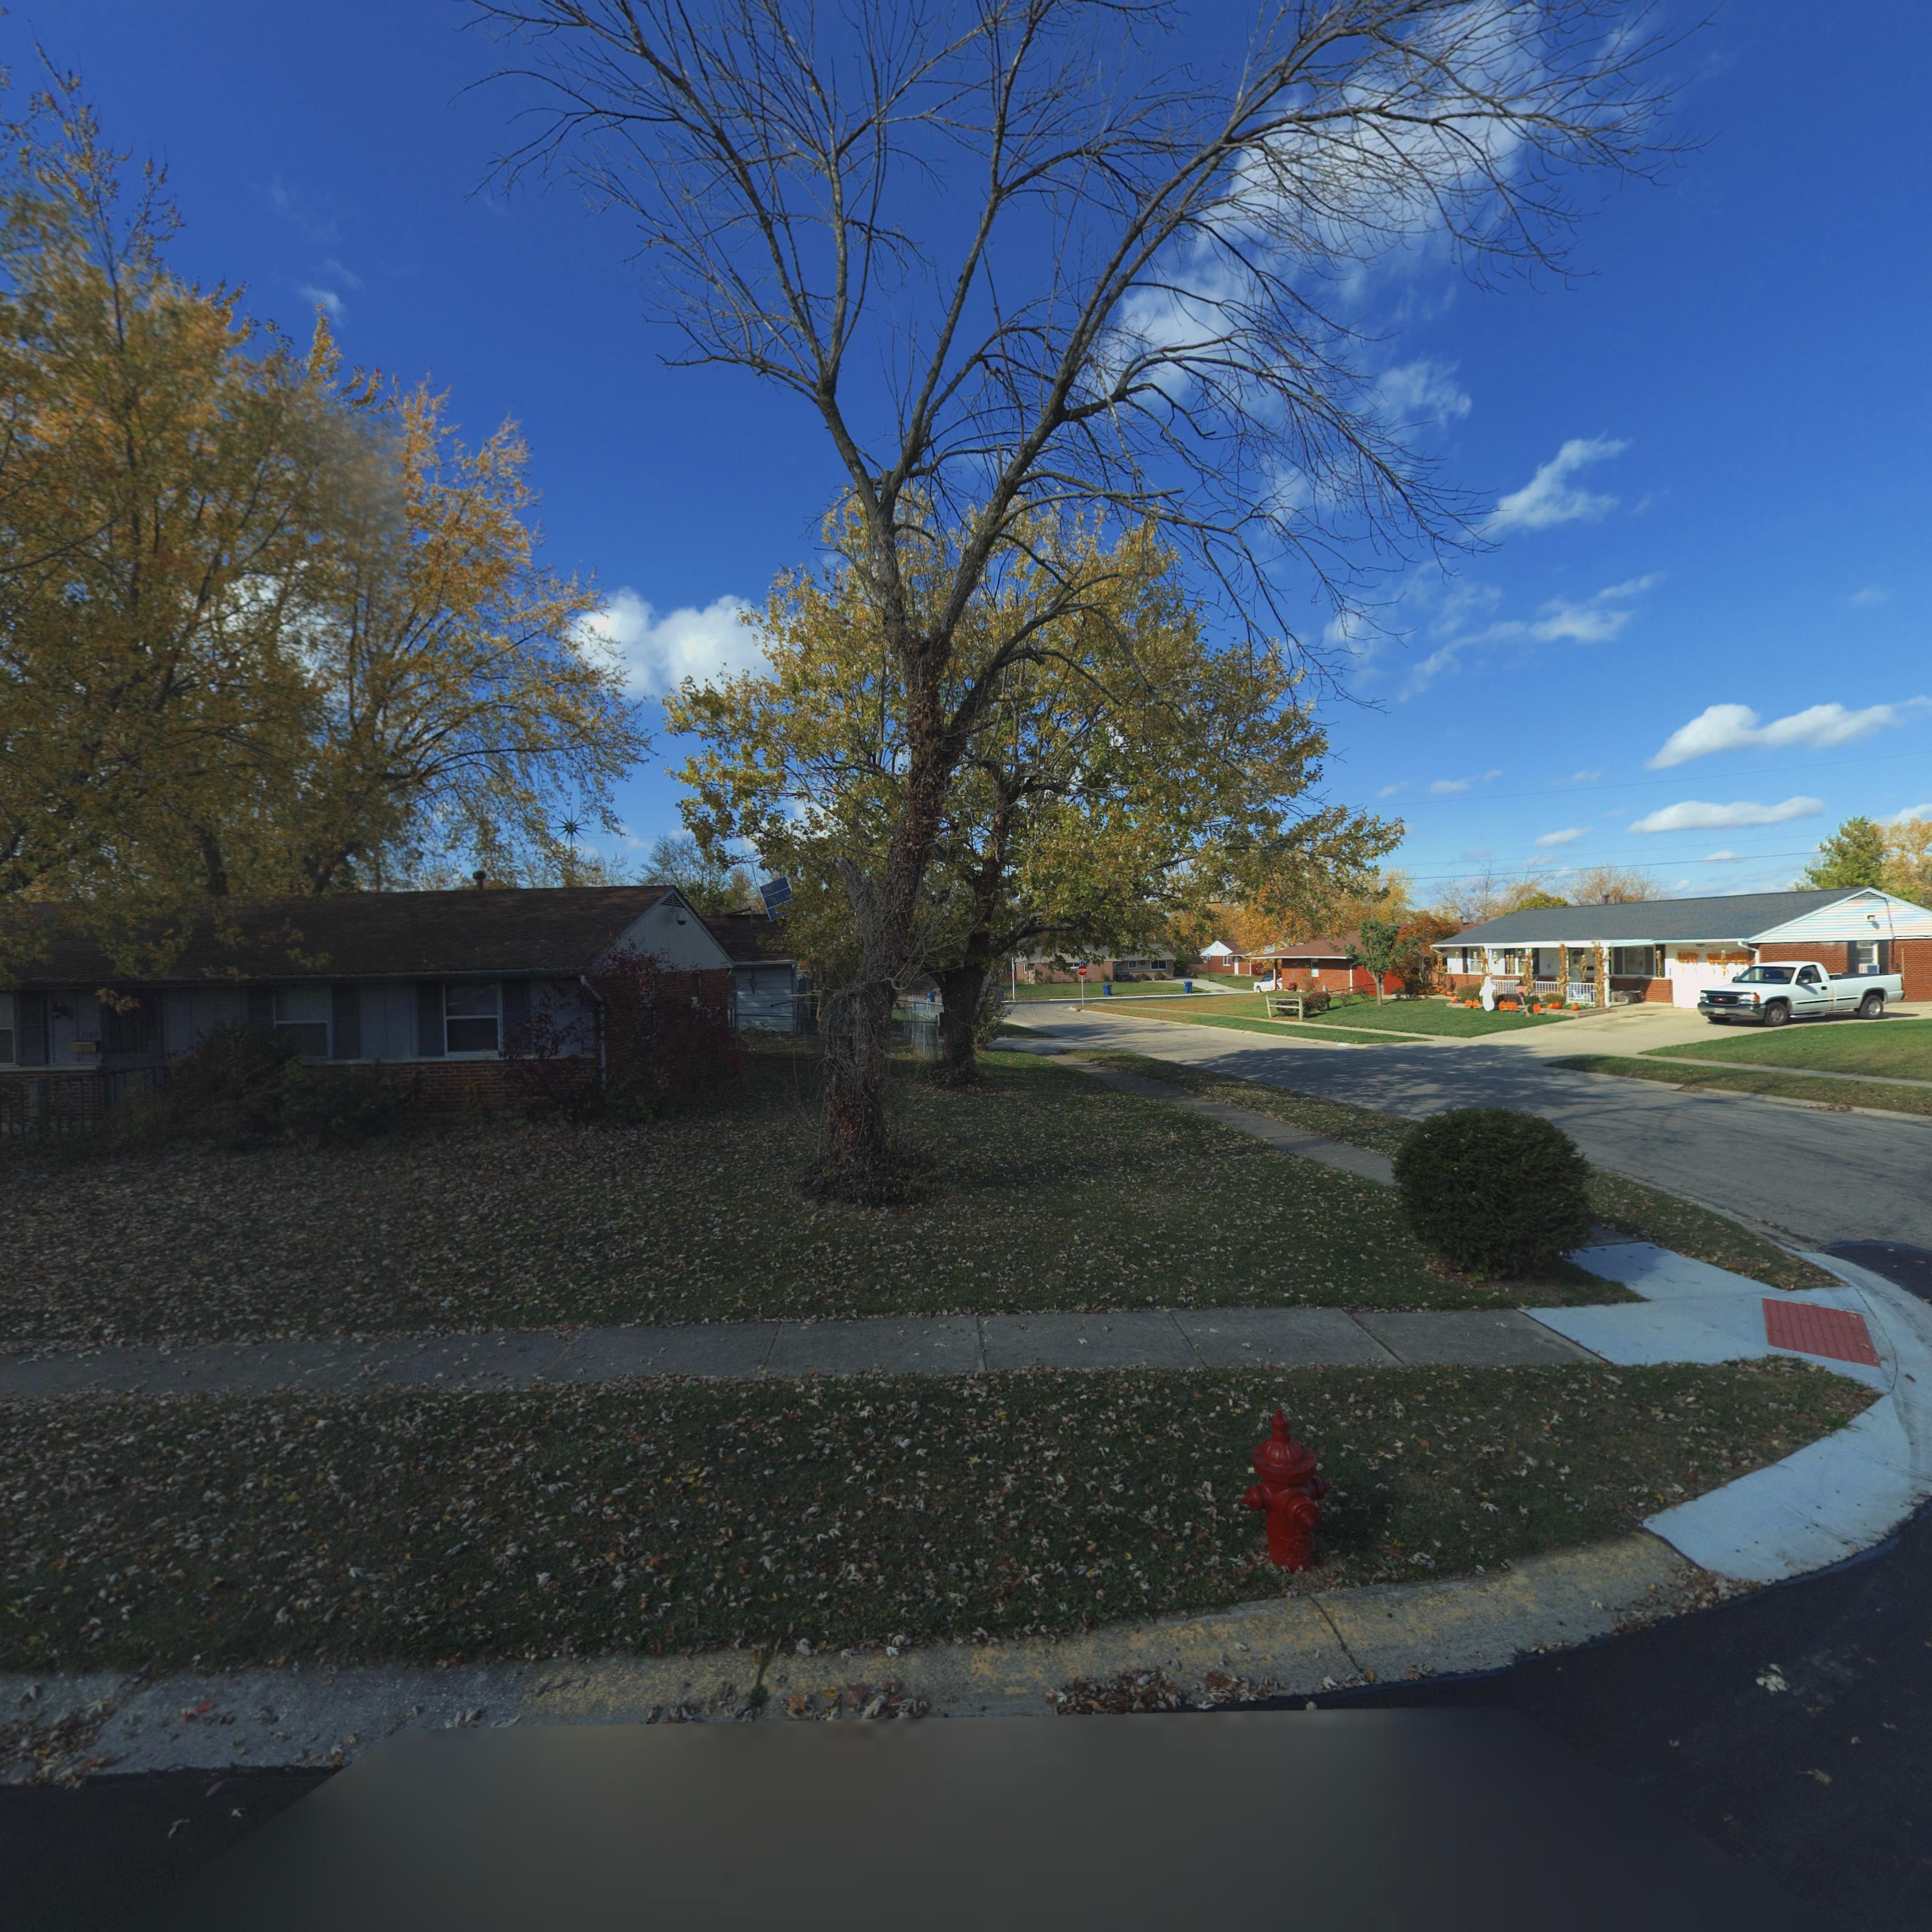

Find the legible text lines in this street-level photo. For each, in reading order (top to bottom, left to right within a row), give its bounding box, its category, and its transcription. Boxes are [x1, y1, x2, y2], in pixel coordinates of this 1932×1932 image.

[80, 1031, 99, 1040] StreetNumber: 7769